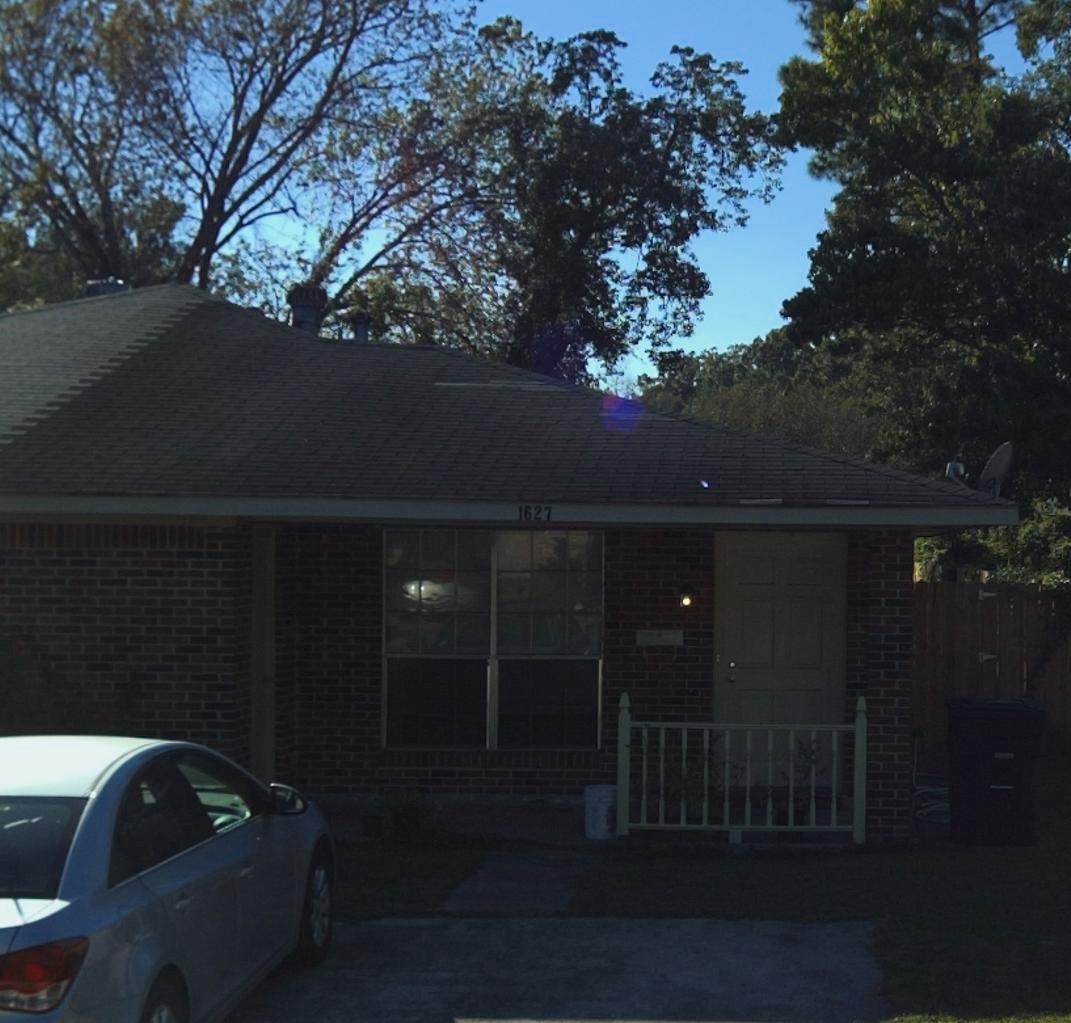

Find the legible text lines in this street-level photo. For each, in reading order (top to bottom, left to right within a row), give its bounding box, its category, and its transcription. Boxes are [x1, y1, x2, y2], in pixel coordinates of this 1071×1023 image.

[517, 504, 553, 522] StreetNumber: 1627